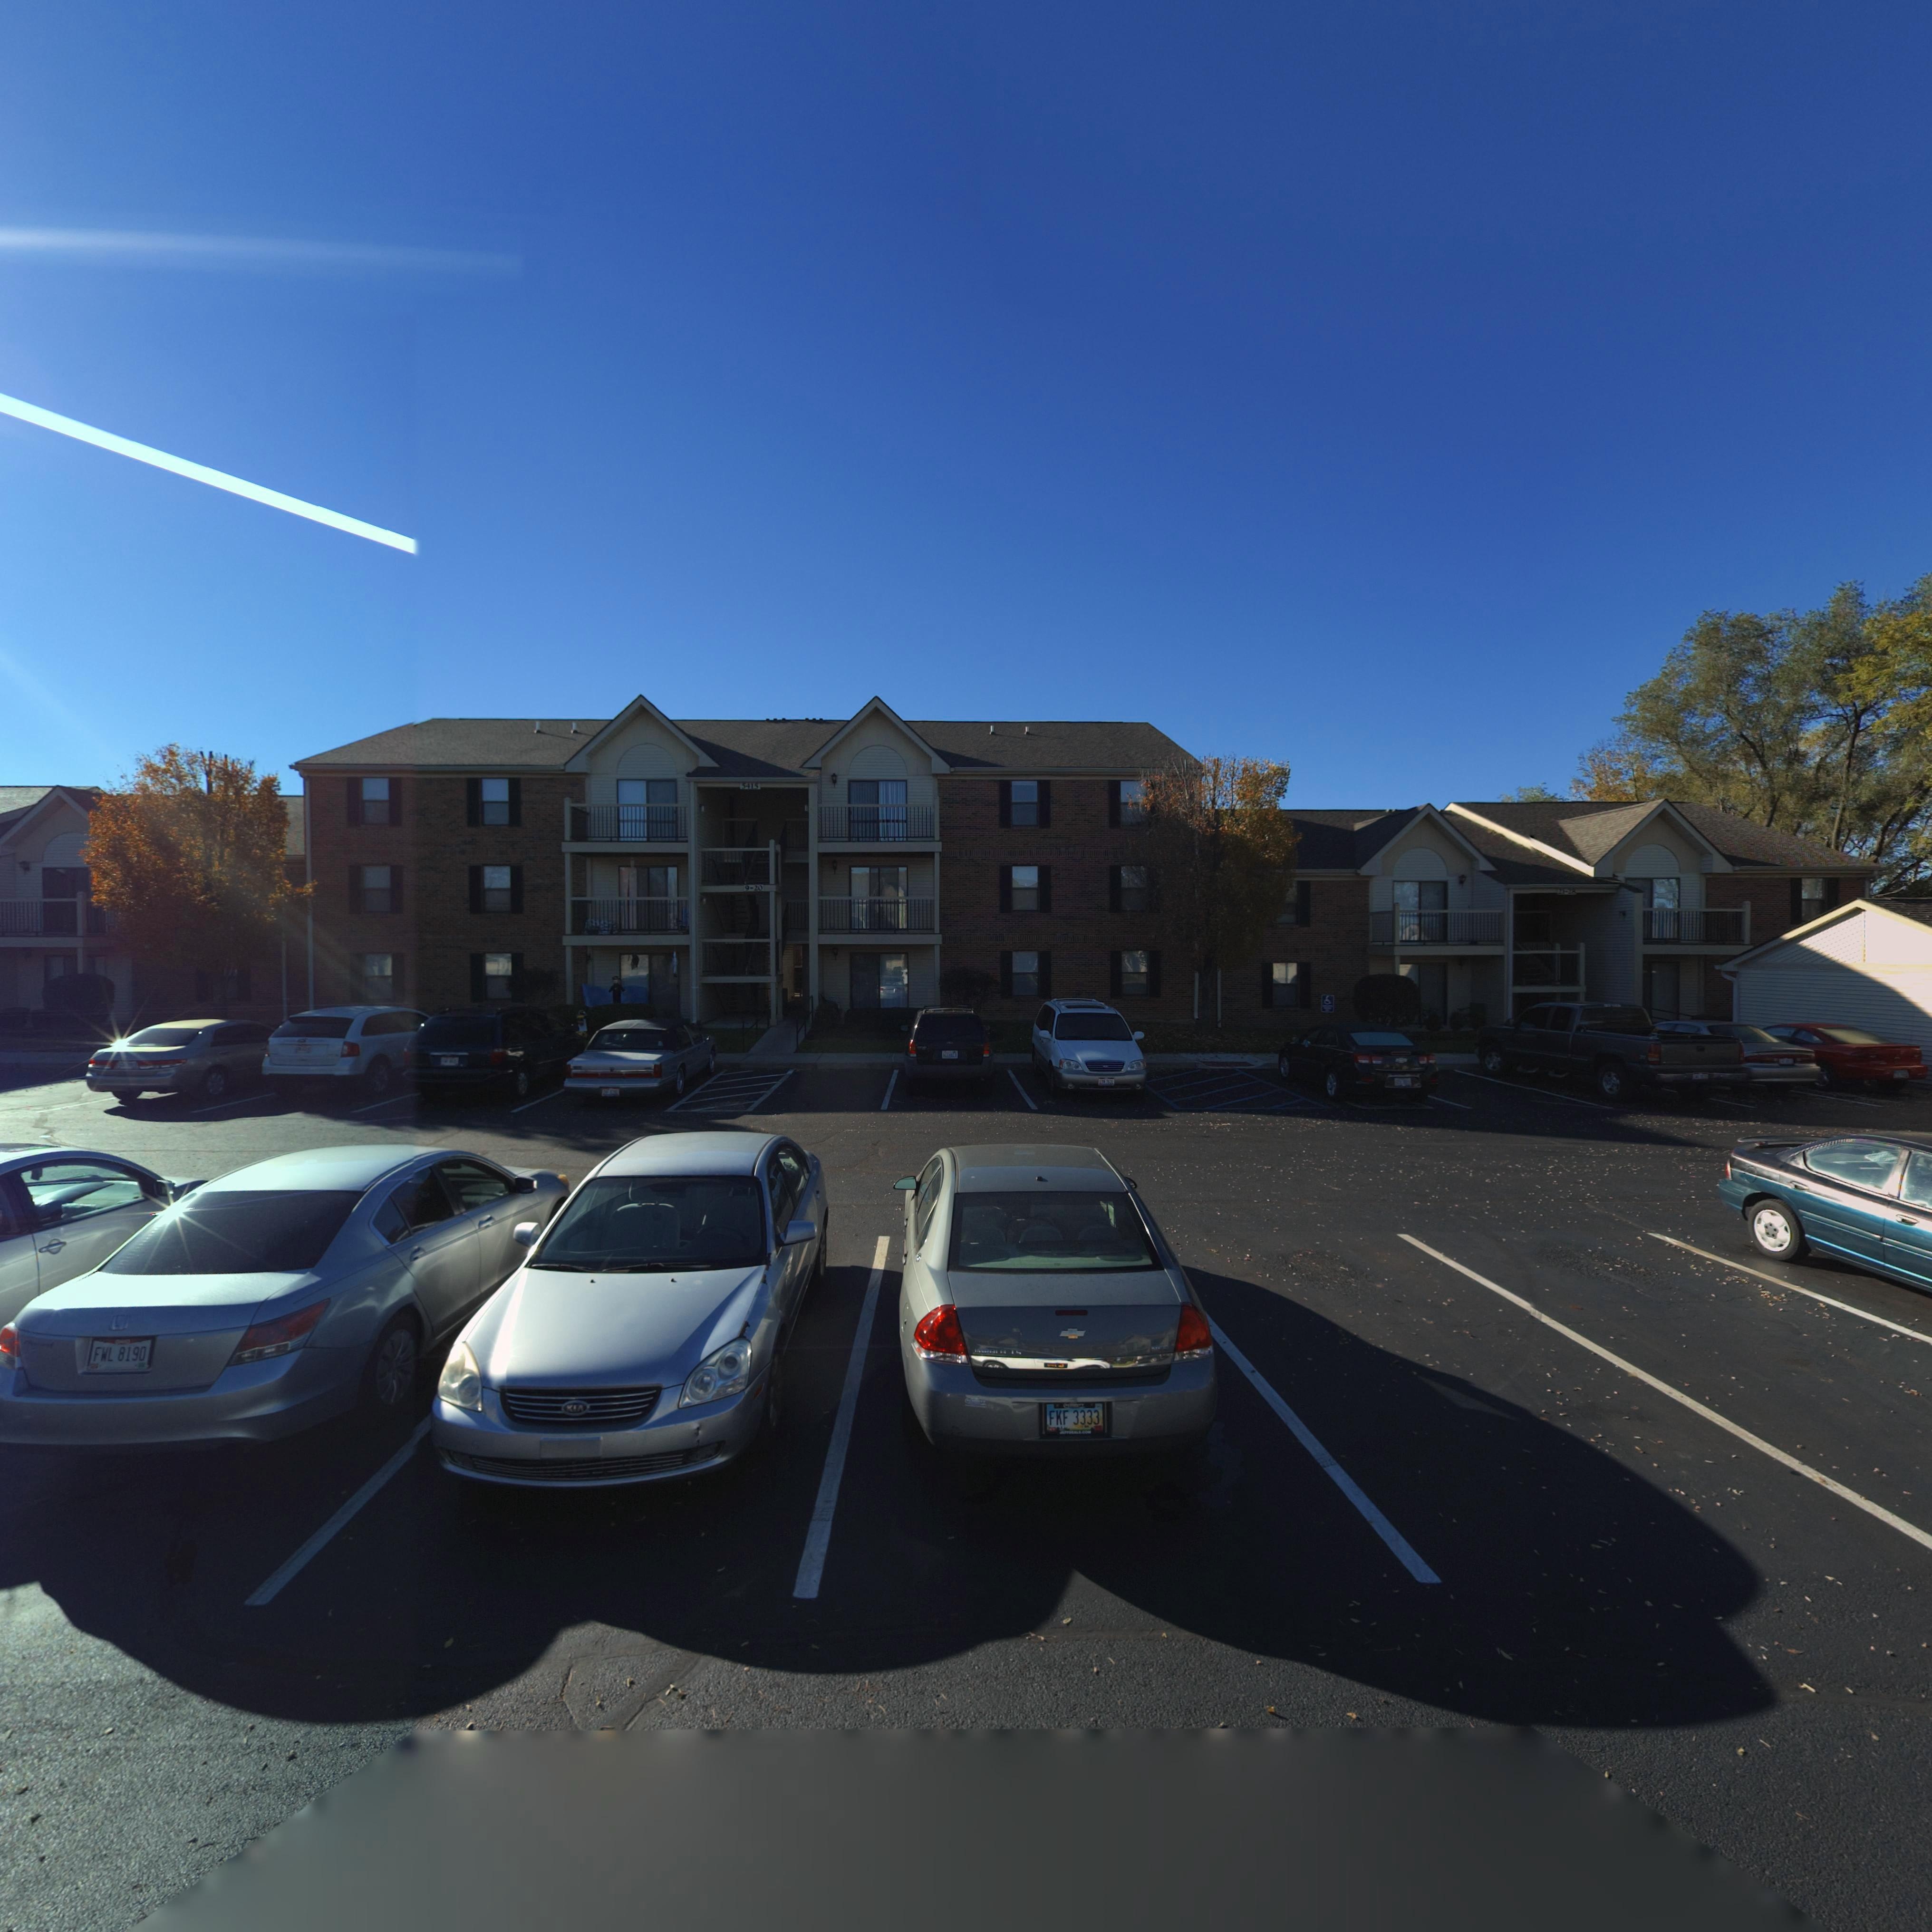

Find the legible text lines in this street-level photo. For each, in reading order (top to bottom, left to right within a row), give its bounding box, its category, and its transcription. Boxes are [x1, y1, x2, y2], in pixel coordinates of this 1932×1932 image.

[740, 782, 759, 789] StreetNumber: 5415
[744, 884, 763, 891] StreetNumber: 9-20
[1557, 887, 1575, 894] StreetNumber: 21-28